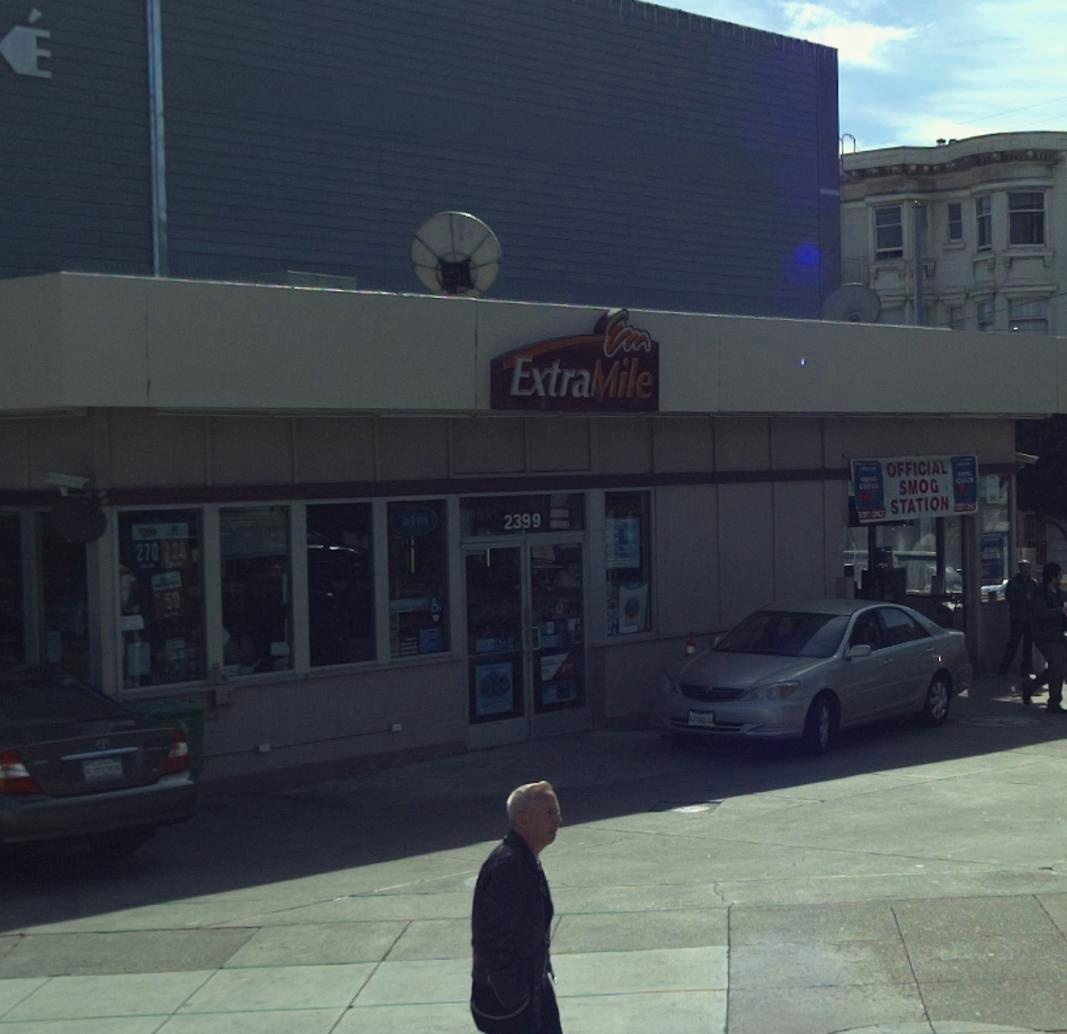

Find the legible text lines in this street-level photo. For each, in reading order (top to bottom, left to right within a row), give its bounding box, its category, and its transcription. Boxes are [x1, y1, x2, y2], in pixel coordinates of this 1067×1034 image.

[507, 354, 660, 402] BusinessName: ExtraMile
[885, 460, 950, 478] None: OFFICIAL
[897, 477, 941, 497] None: SMOG
[889, 494, 952, 516] None: STATION
[402, 514, 431, 528] None: atm
[503, 511, 542, 530] StreetNumber: 2399
[136, 542, 160, 563] None: 270
[170, 541, 189, 560] None: 23
[164, 589, 183, 611] None: 50